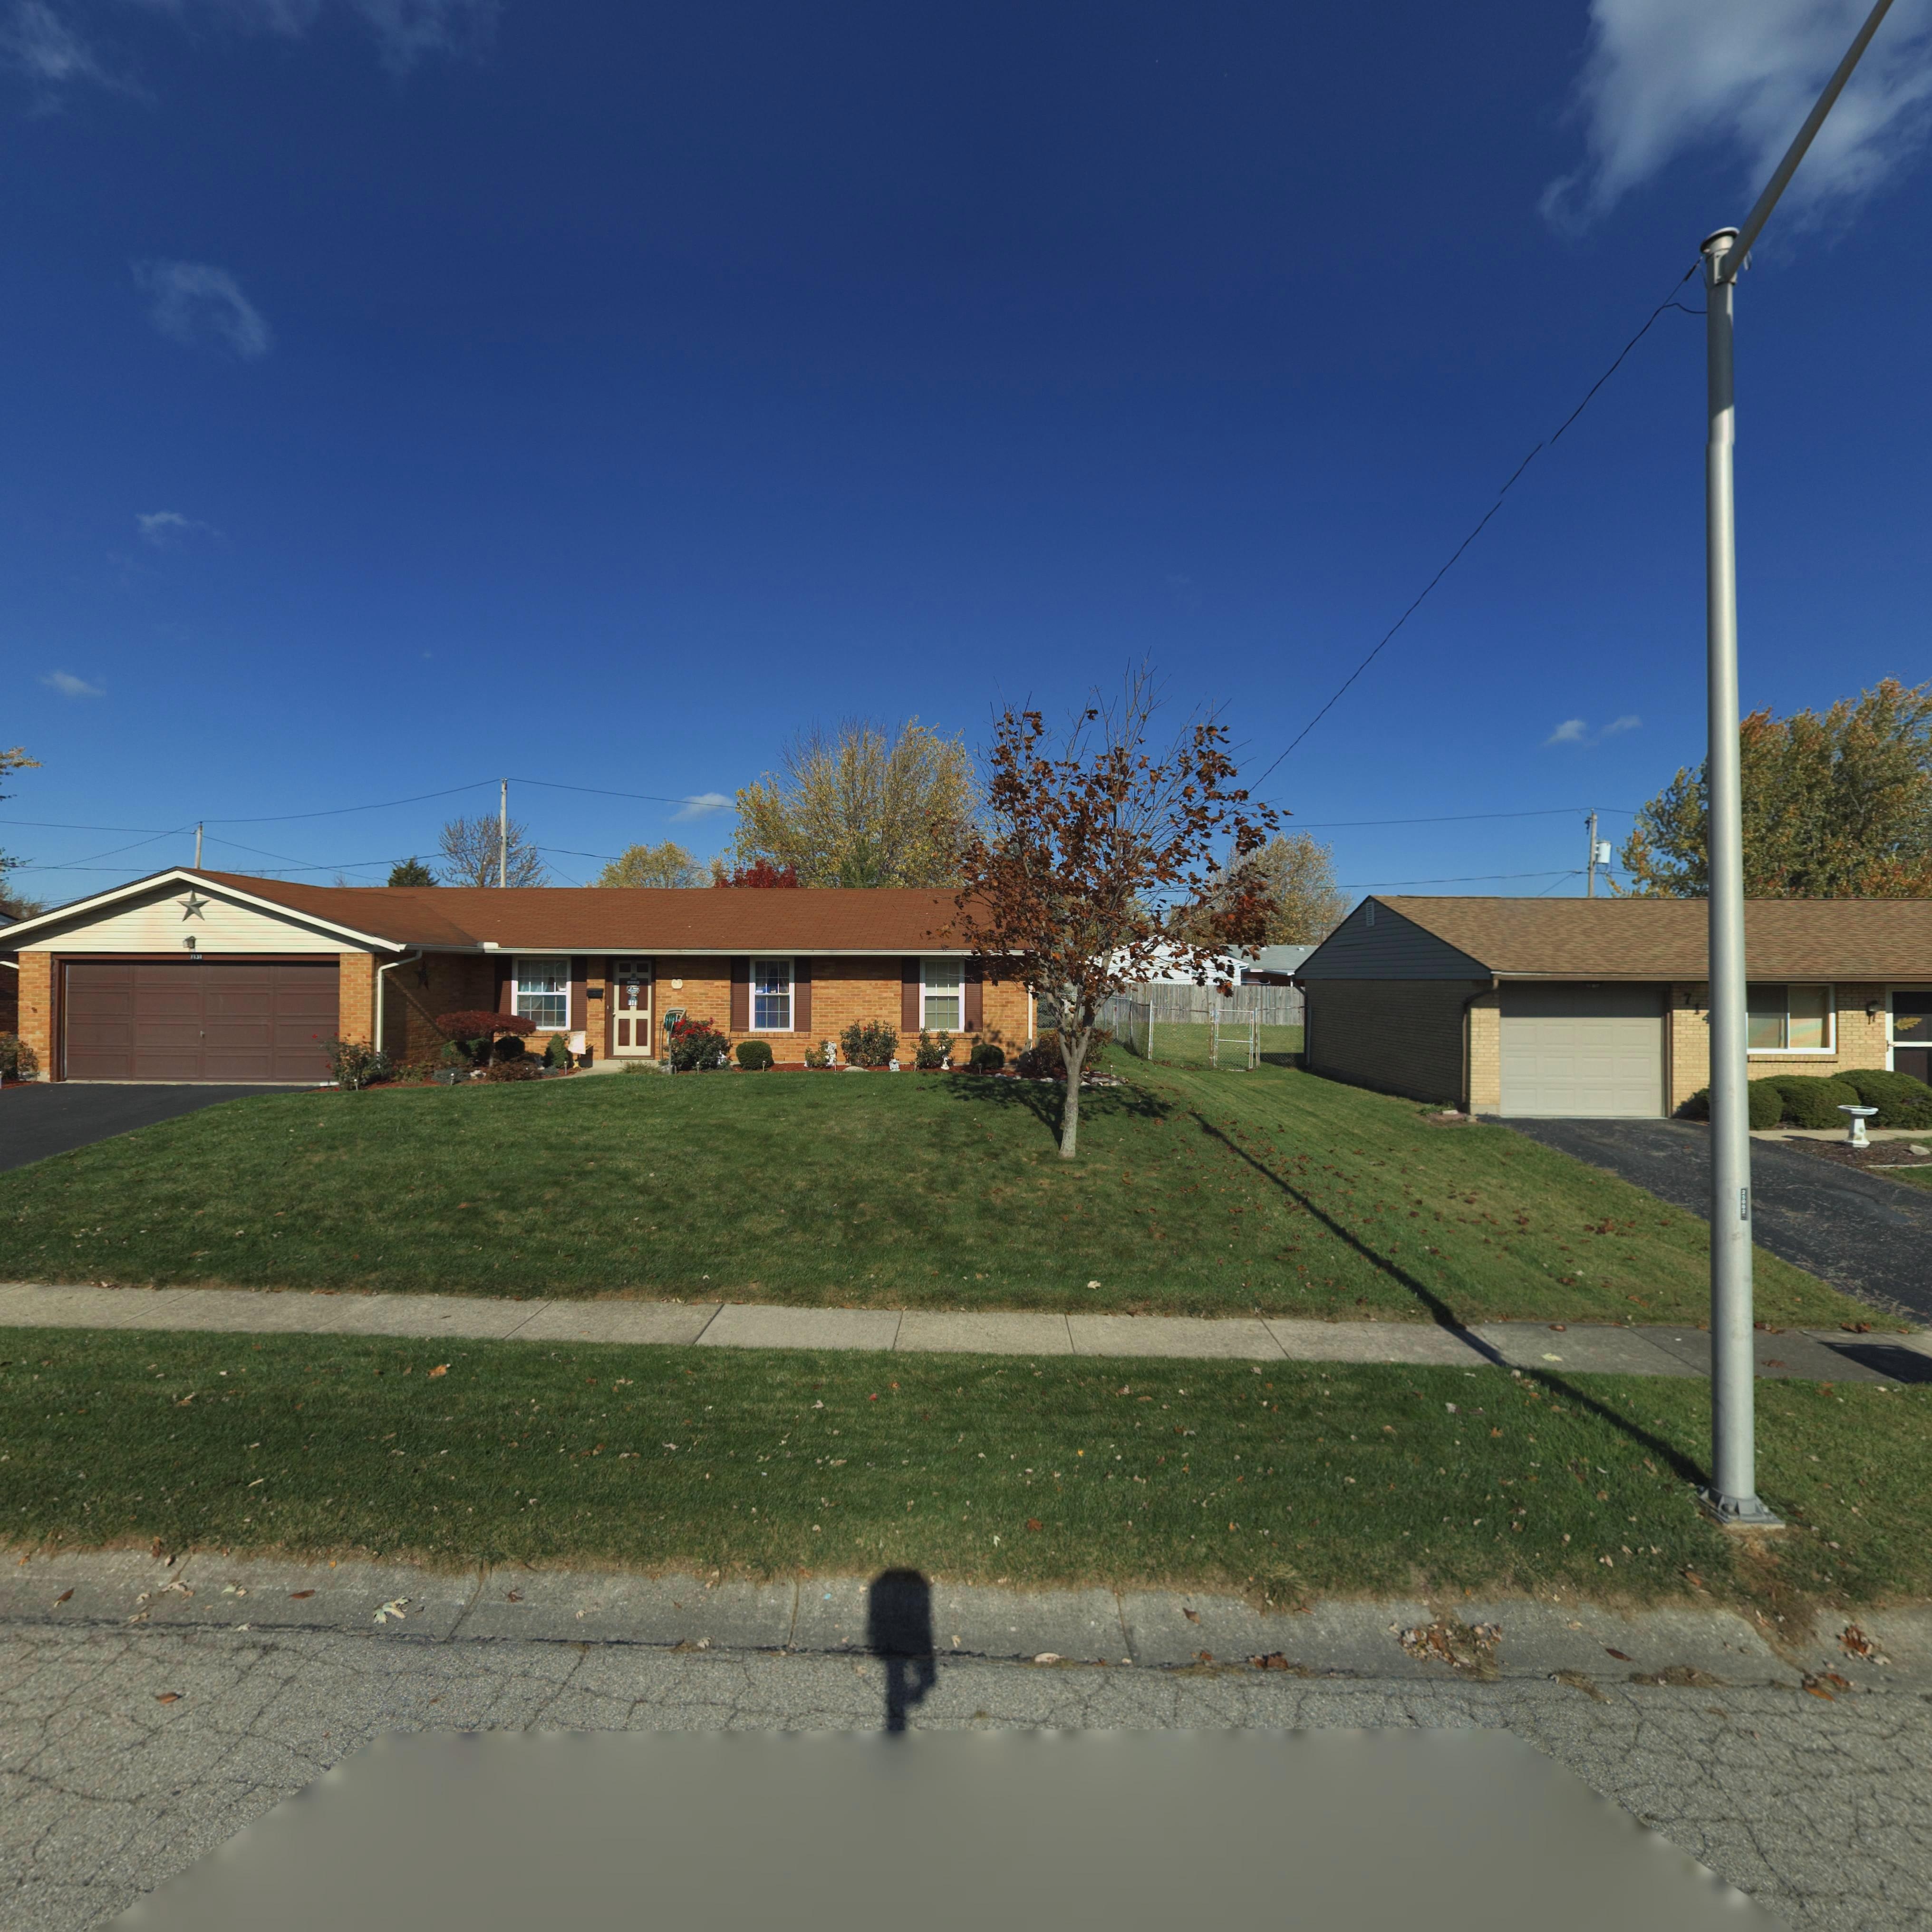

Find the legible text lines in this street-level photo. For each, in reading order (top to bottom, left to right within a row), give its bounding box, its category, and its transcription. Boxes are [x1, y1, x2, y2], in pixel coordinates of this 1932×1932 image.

[1683, 992, 1701, 1016] StreetNumber: 71